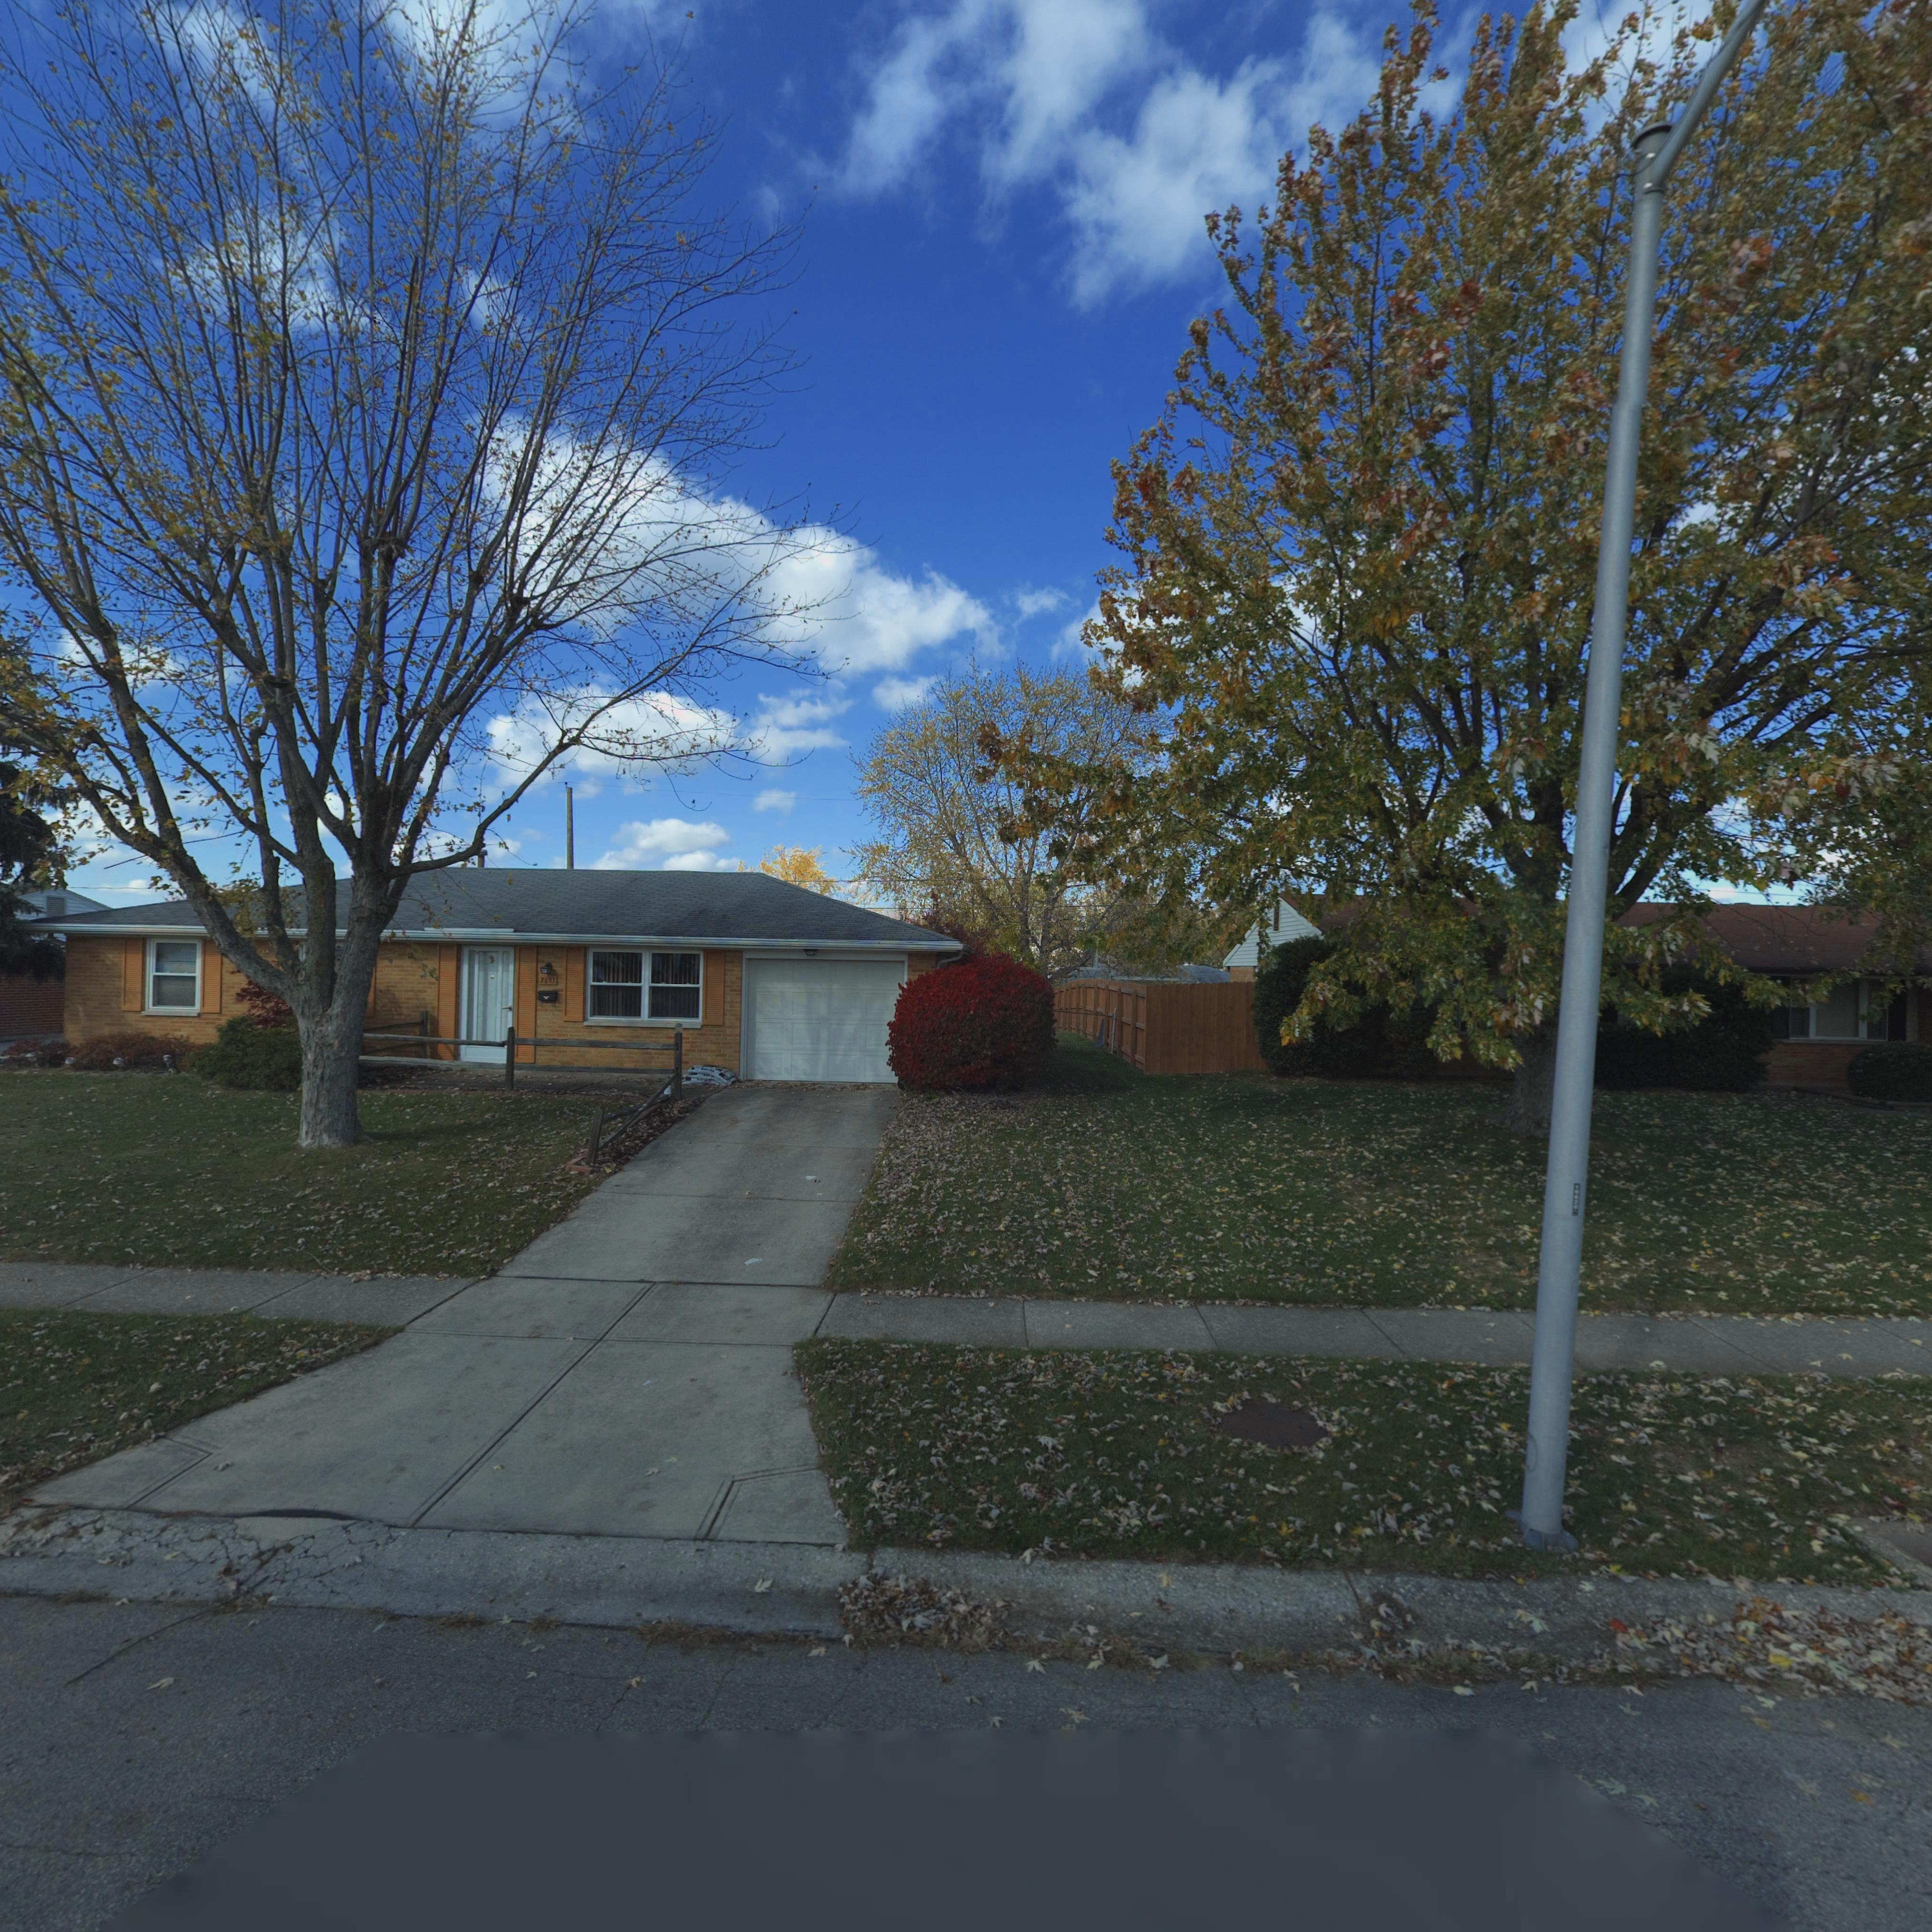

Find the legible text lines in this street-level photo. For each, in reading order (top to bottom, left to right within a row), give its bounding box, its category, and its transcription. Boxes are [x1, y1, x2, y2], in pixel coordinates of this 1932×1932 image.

[540, 976, 556, 985] StreetNumber: 7691